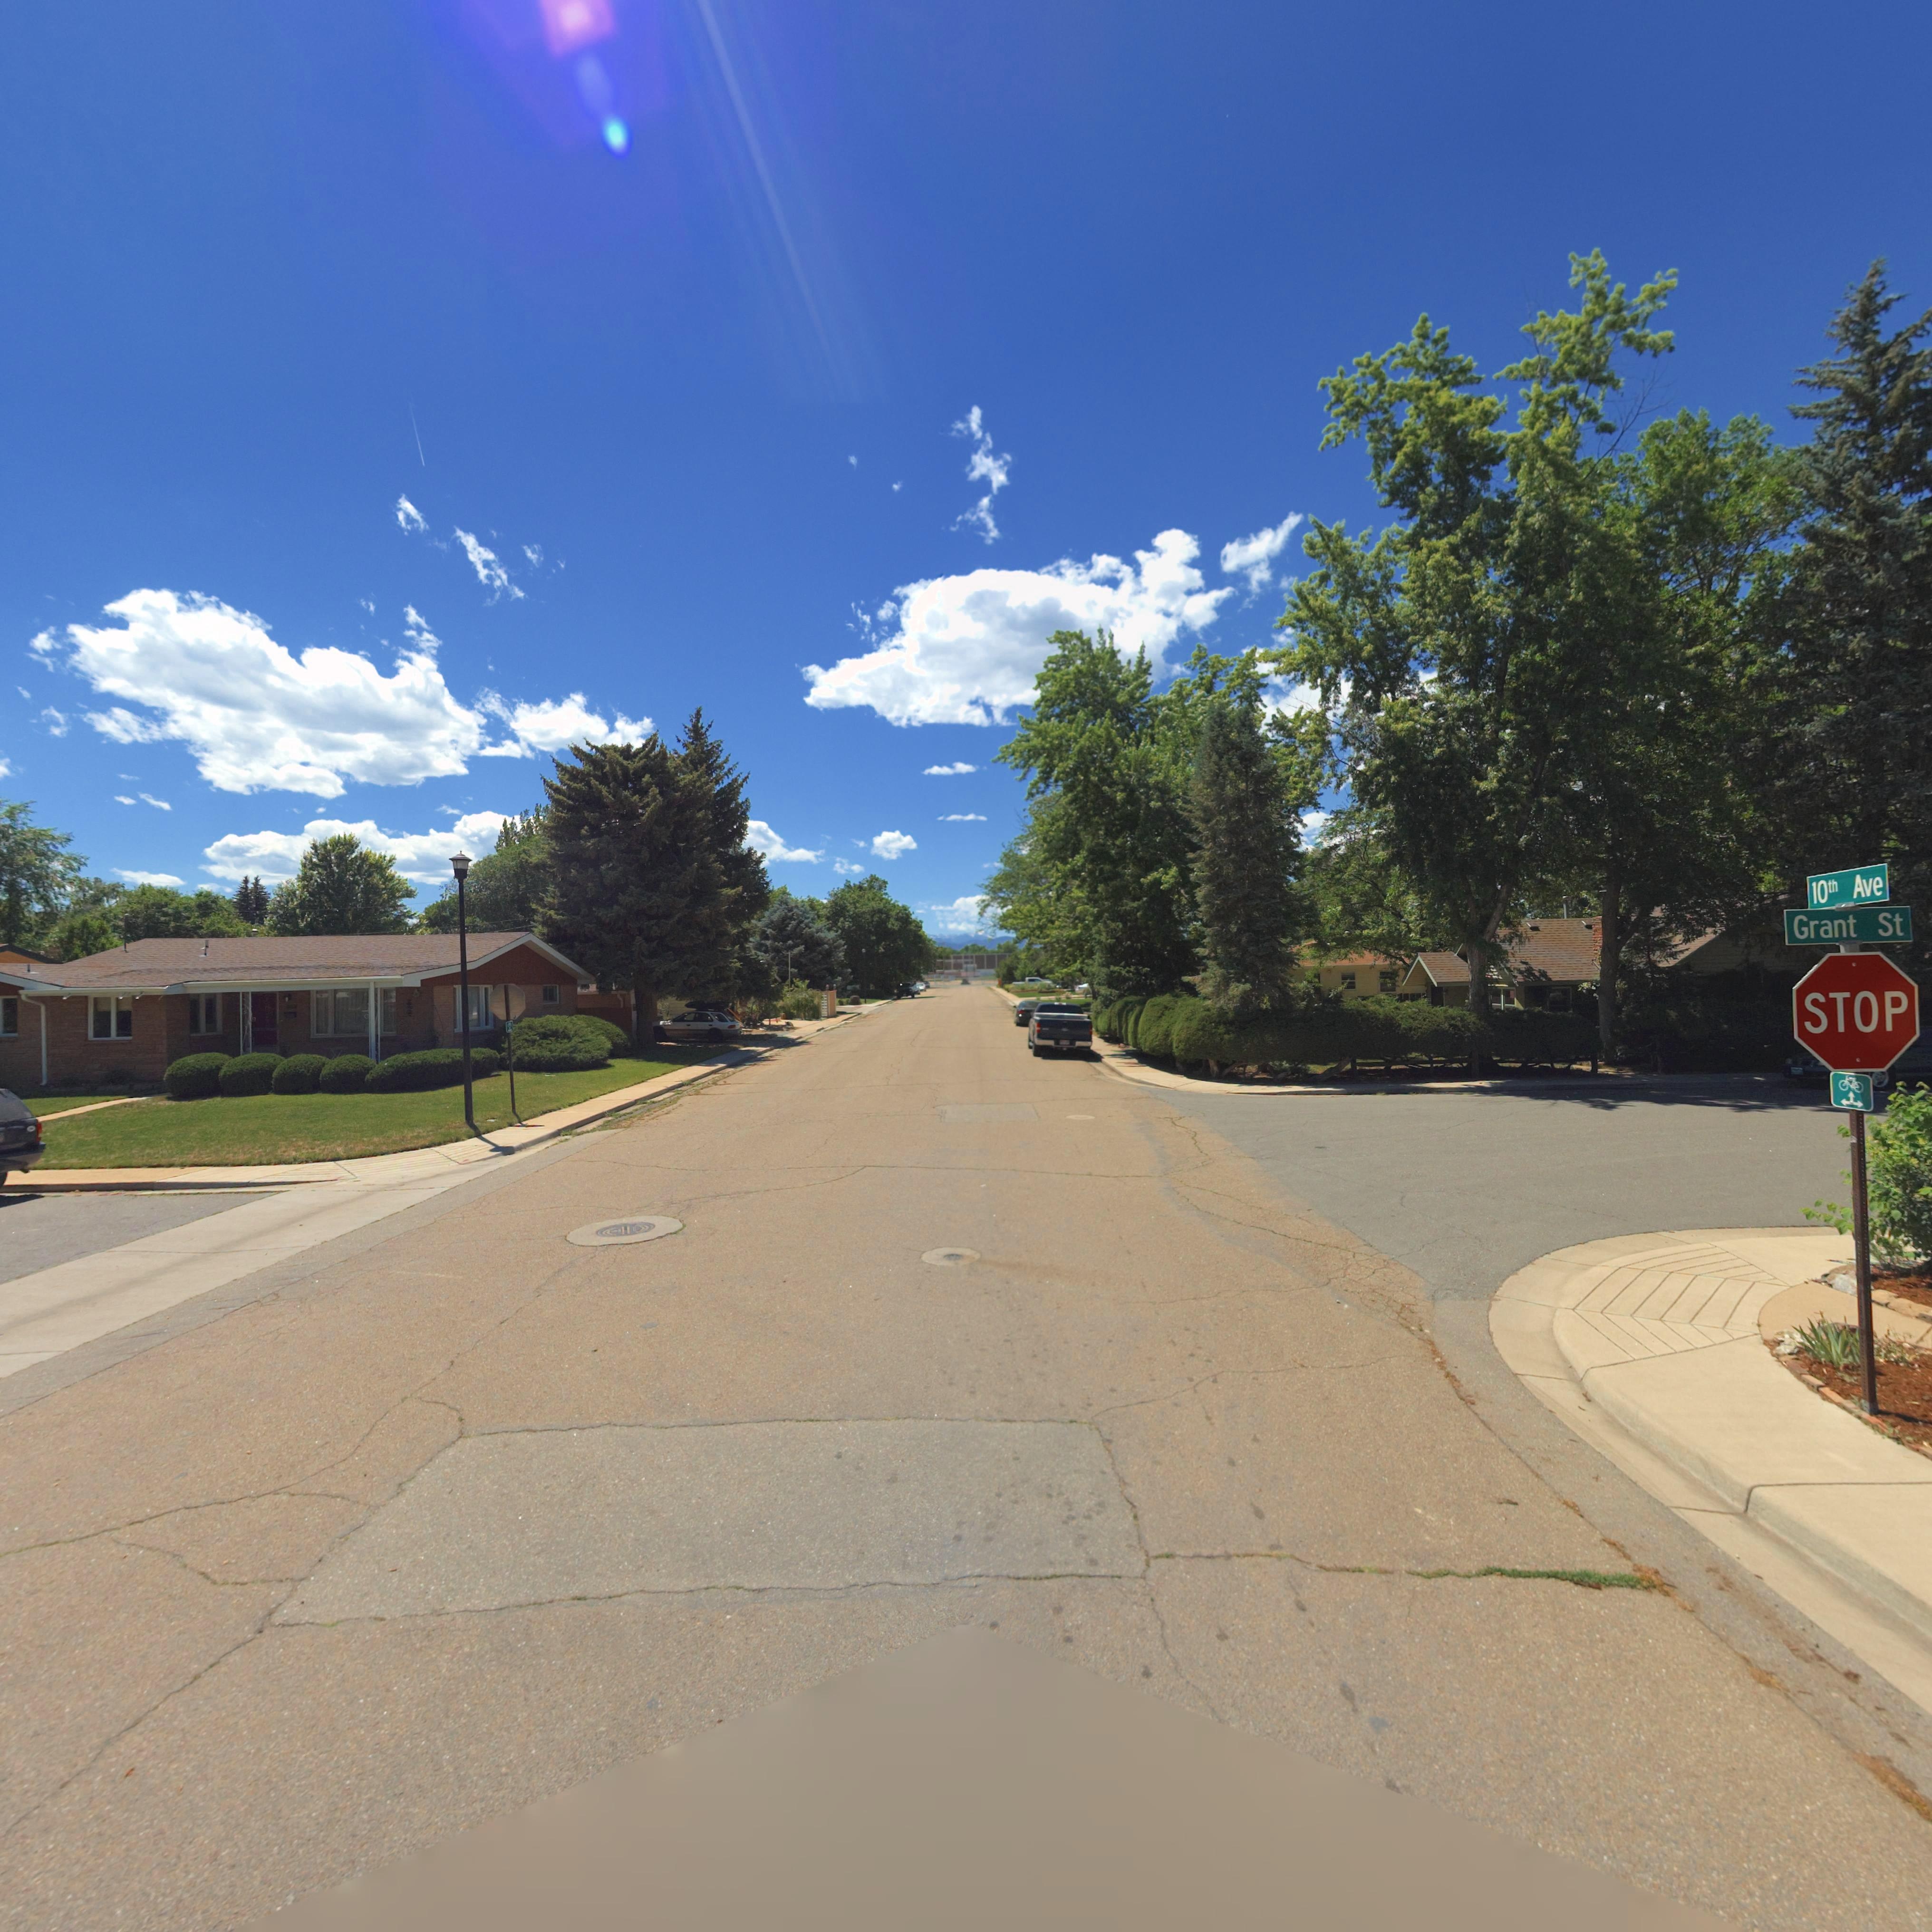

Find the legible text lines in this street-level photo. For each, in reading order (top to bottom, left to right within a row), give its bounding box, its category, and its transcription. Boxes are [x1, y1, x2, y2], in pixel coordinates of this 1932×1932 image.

[1811, 873, 1884, 904] StreetName: 10th Ave
[1793, 911, 1904, 939] StreetName: Grant St